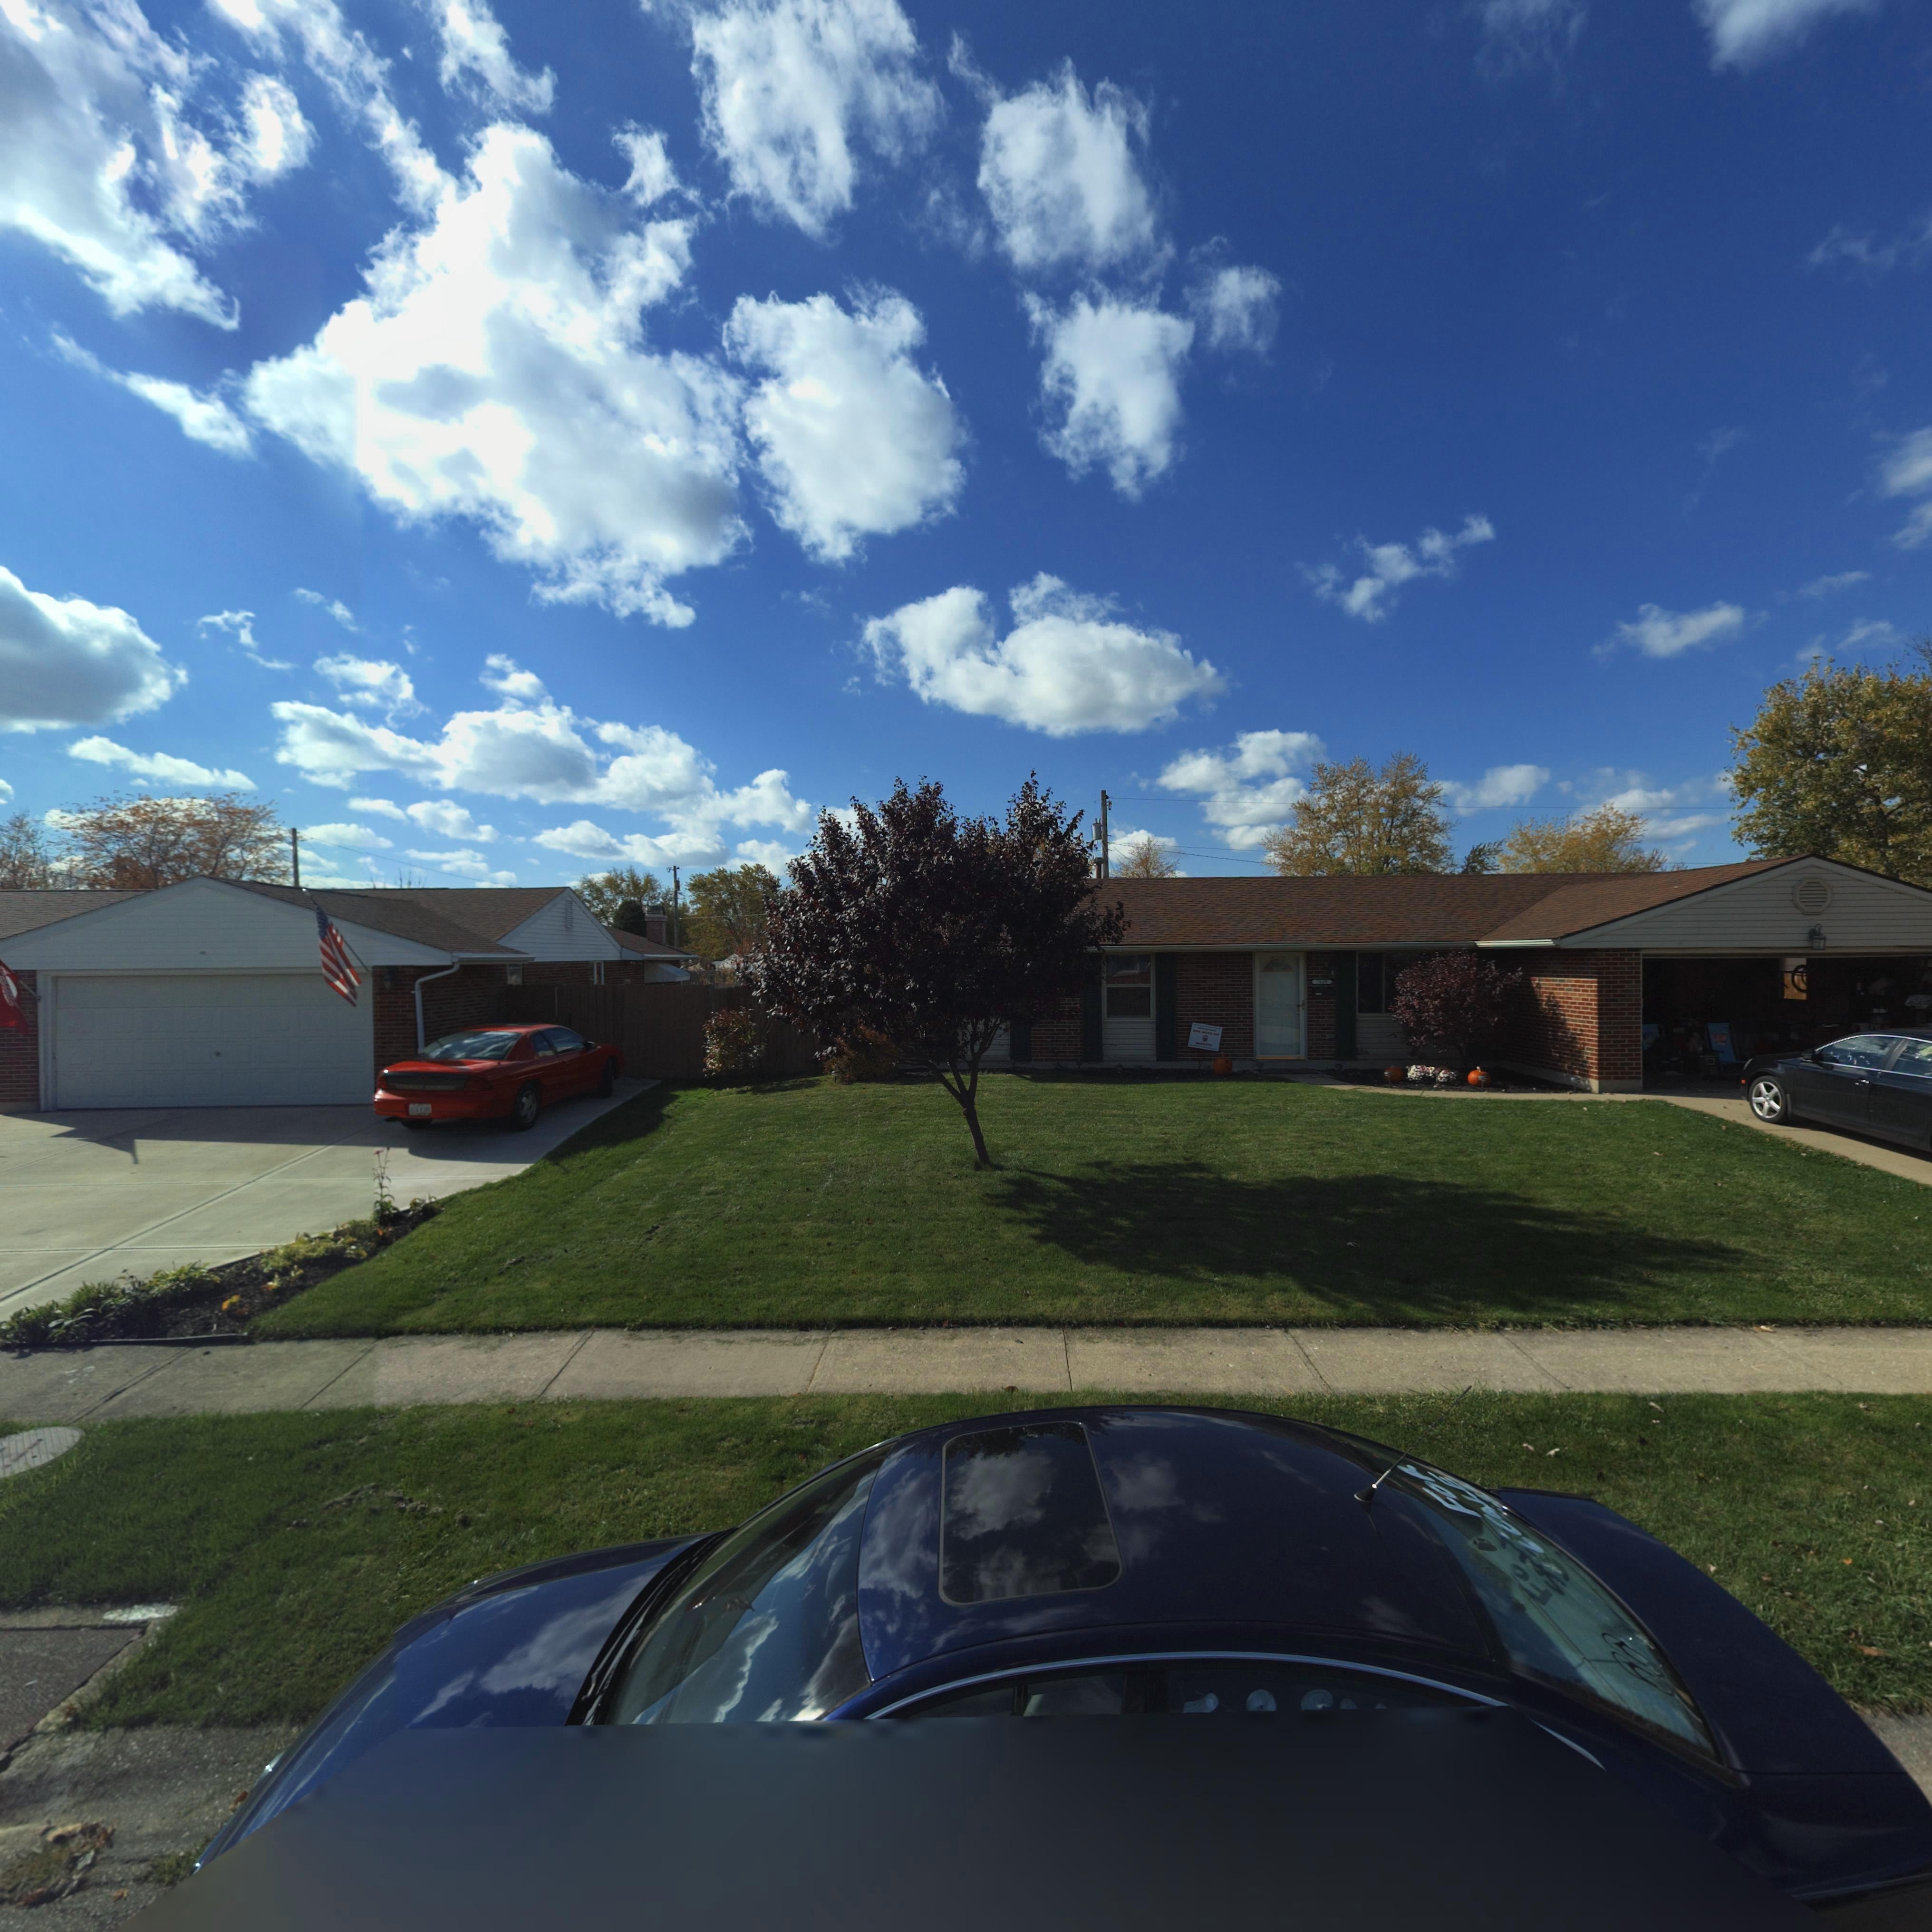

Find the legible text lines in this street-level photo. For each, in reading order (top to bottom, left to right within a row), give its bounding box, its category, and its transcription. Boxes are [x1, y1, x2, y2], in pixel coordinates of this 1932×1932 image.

[1316, 980, 1328, 984] StreetNumber: 7659